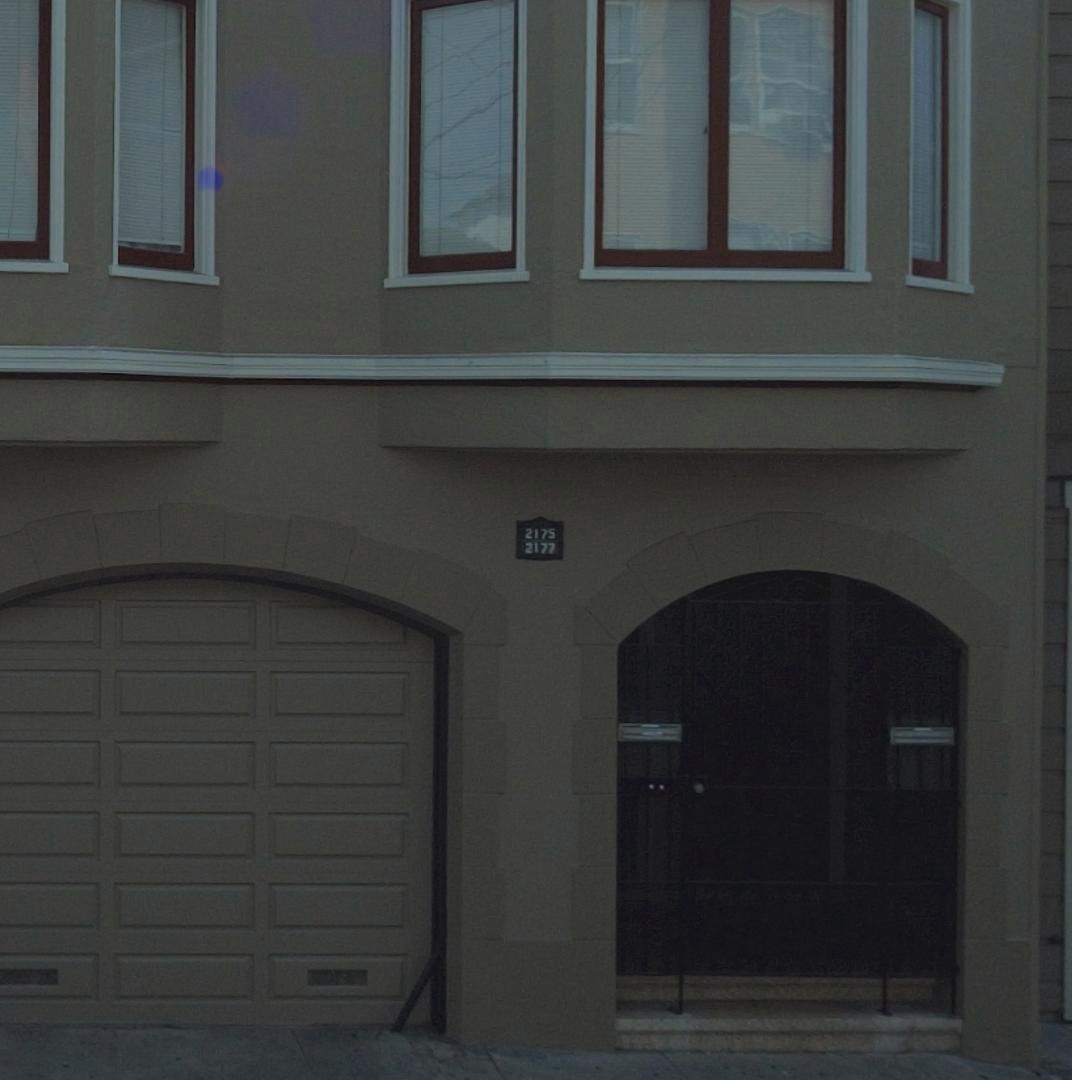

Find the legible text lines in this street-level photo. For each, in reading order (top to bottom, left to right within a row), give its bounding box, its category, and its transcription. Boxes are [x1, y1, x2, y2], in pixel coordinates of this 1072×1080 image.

[523, 526, 557, 541] StreetNumber: 2175
[523, 541, 558, 556] StreetNumber: 2177